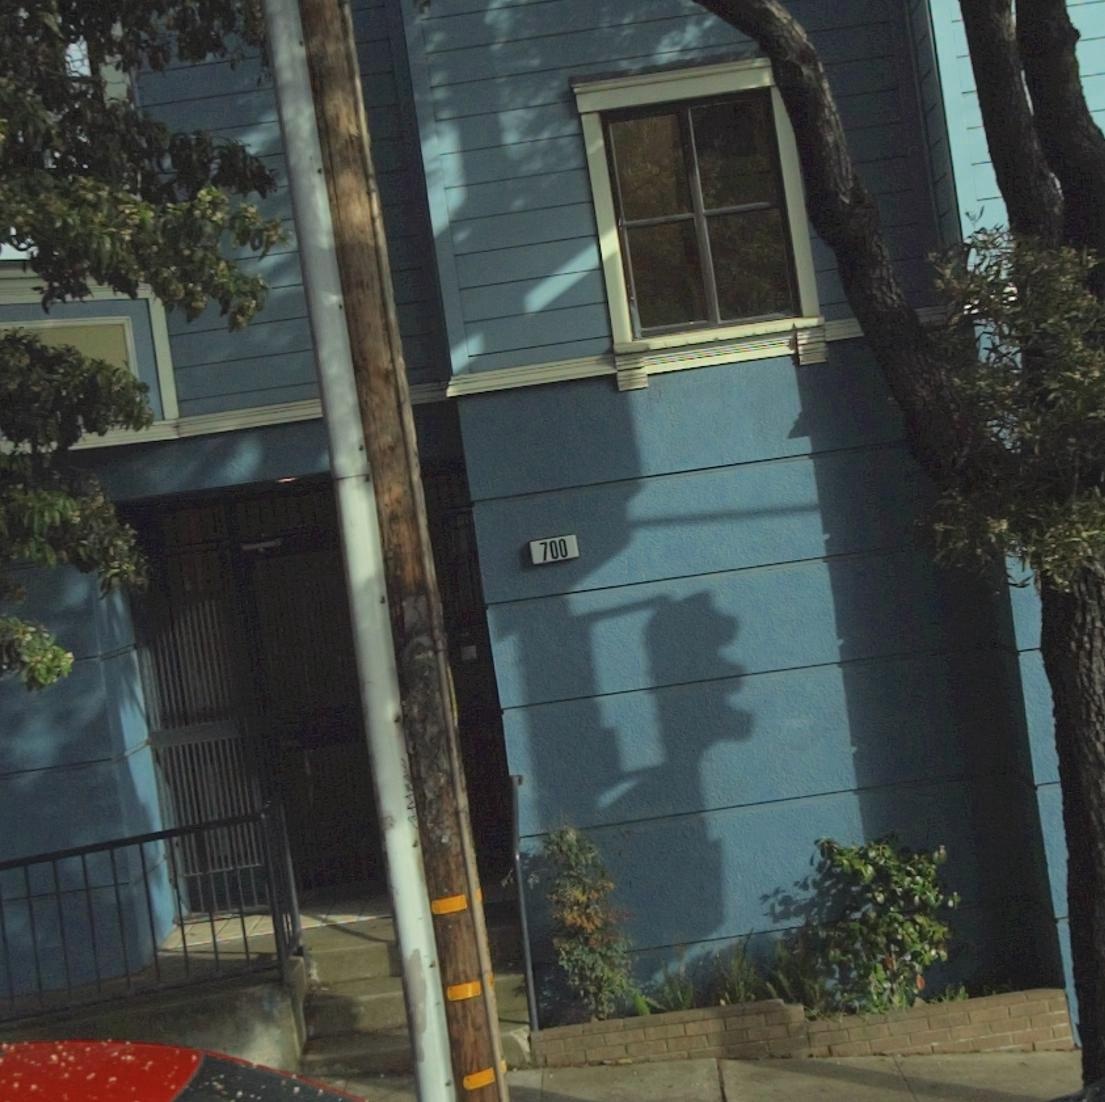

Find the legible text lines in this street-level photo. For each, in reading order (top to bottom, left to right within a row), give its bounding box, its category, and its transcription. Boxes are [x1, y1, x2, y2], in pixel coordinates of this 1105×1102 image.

[537, 536, 571, 564] StreetNumber: 700